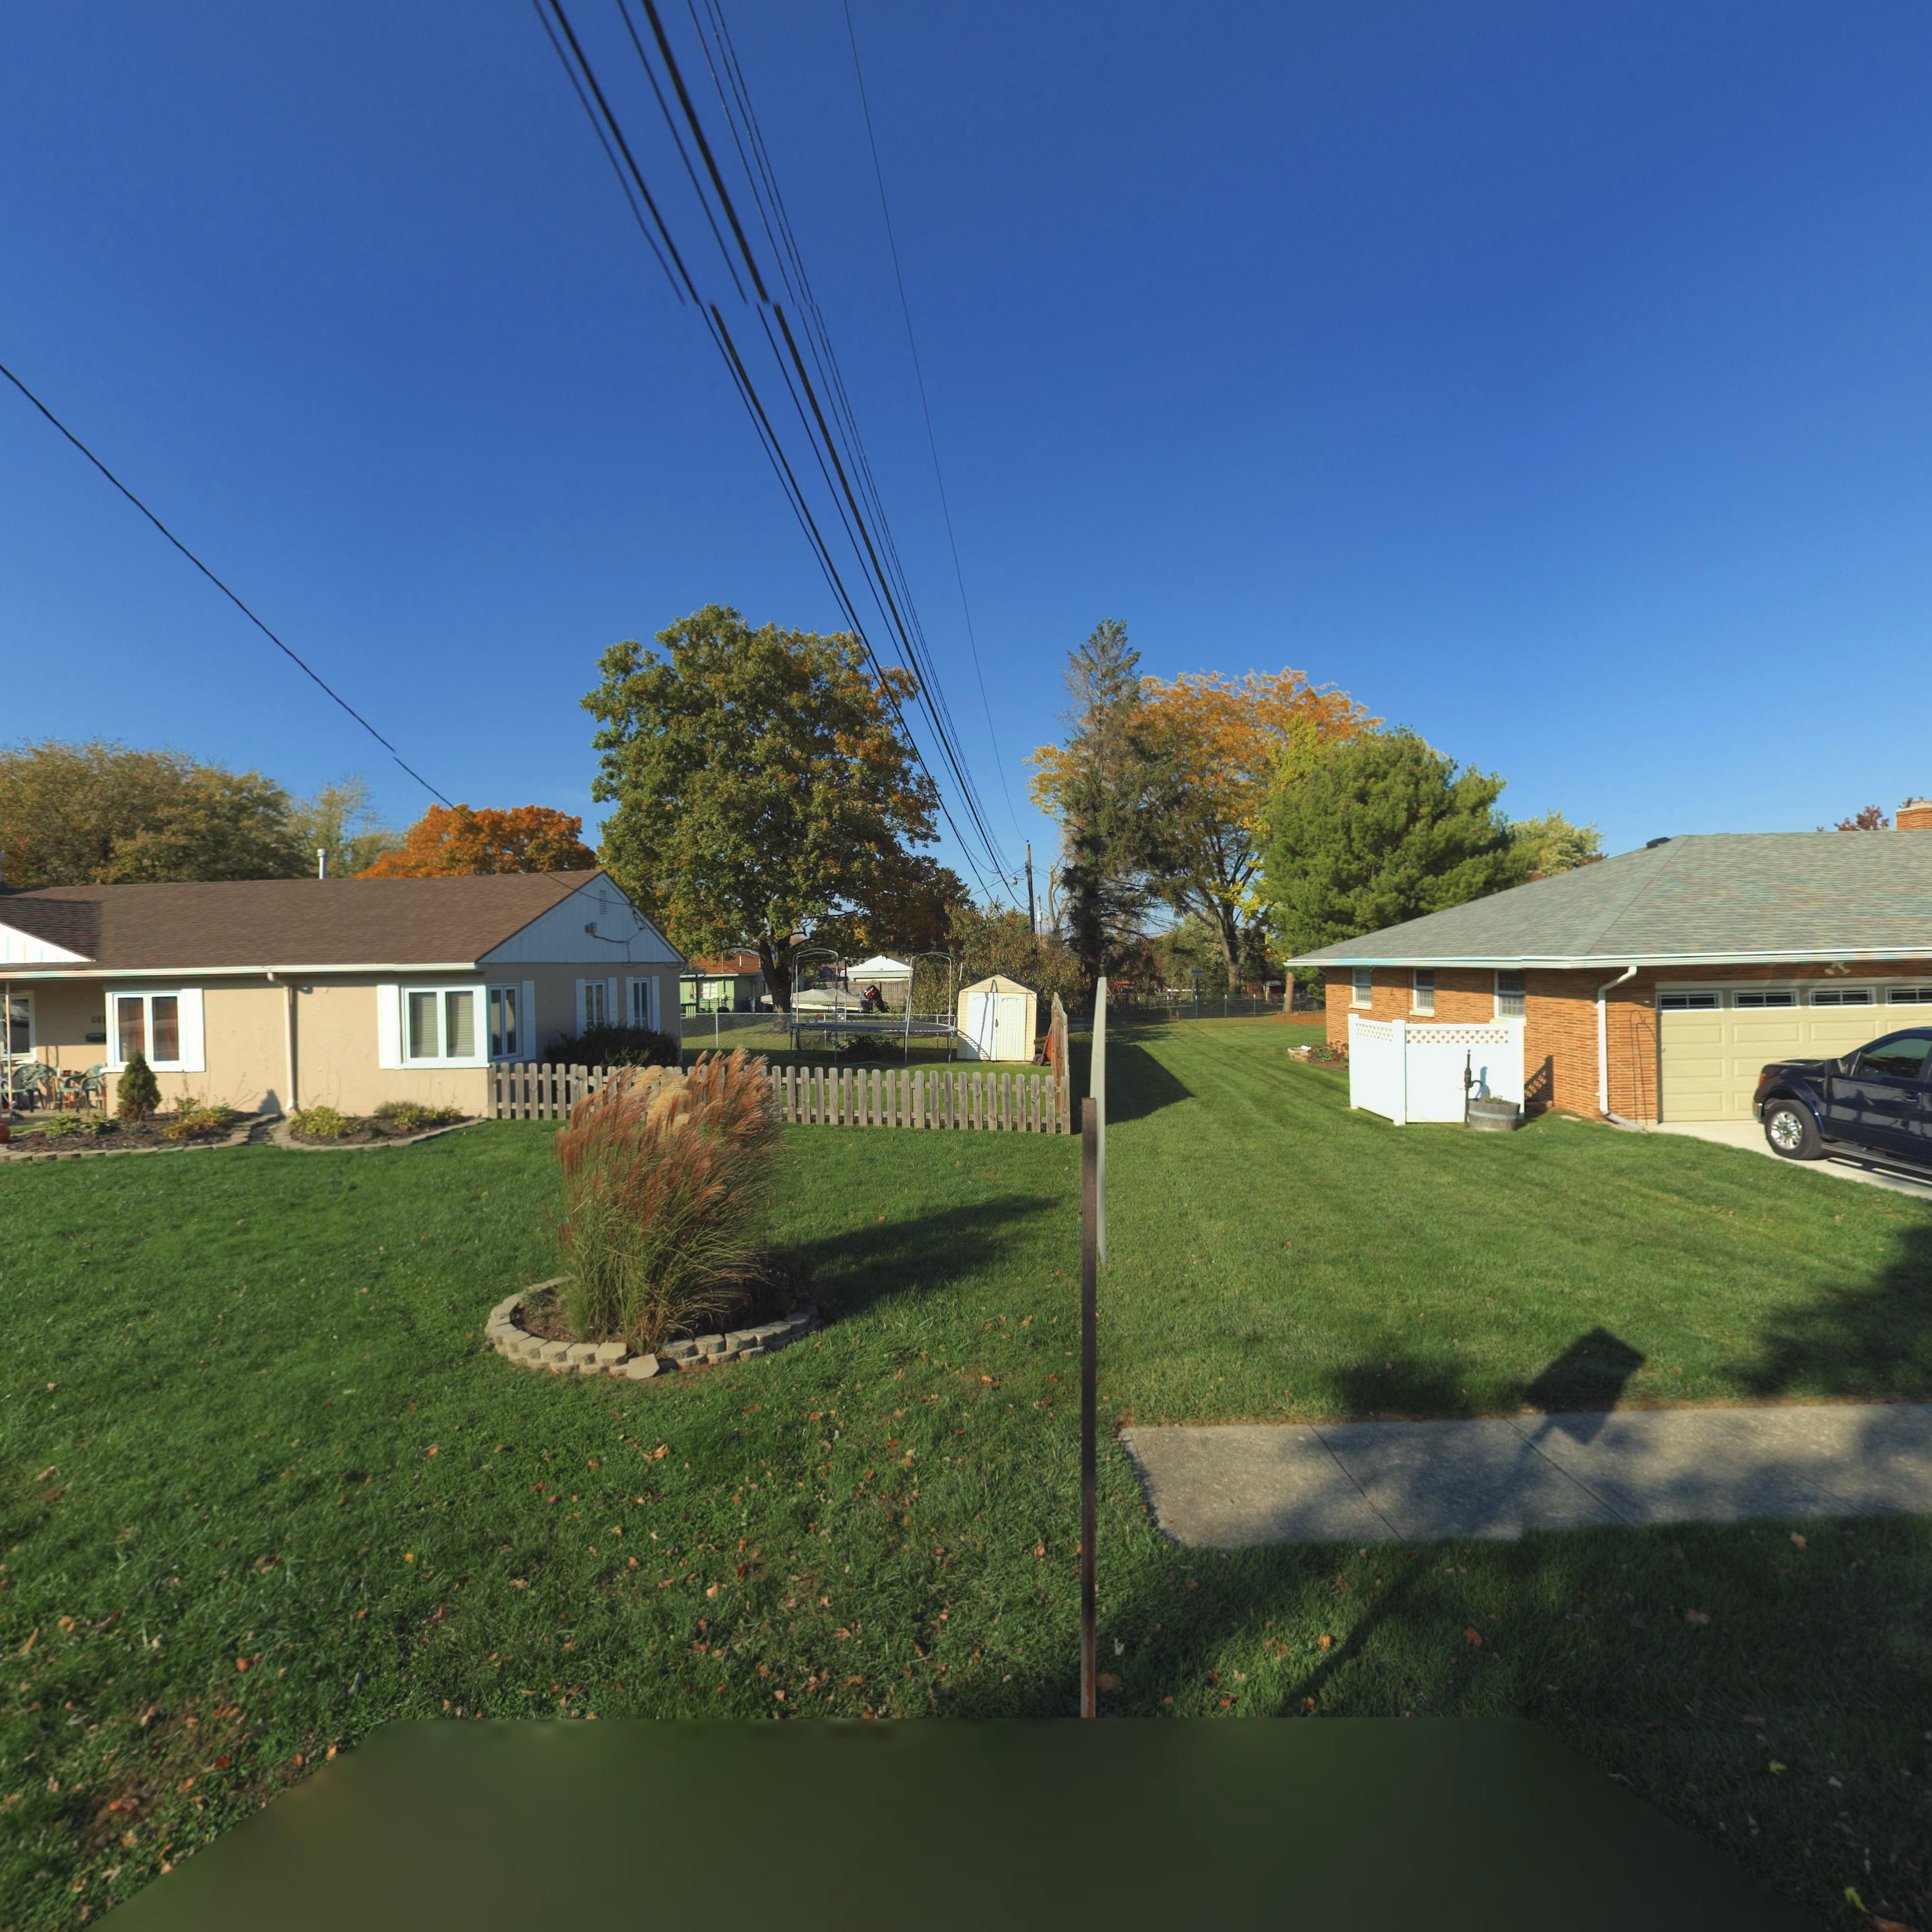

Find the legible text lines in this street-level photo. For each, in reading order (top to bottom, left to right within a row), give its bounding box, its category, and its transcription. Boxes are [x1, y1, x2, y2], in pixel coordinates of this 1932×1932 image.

[90, 1015, 106, 1024] StreetNumber: 601